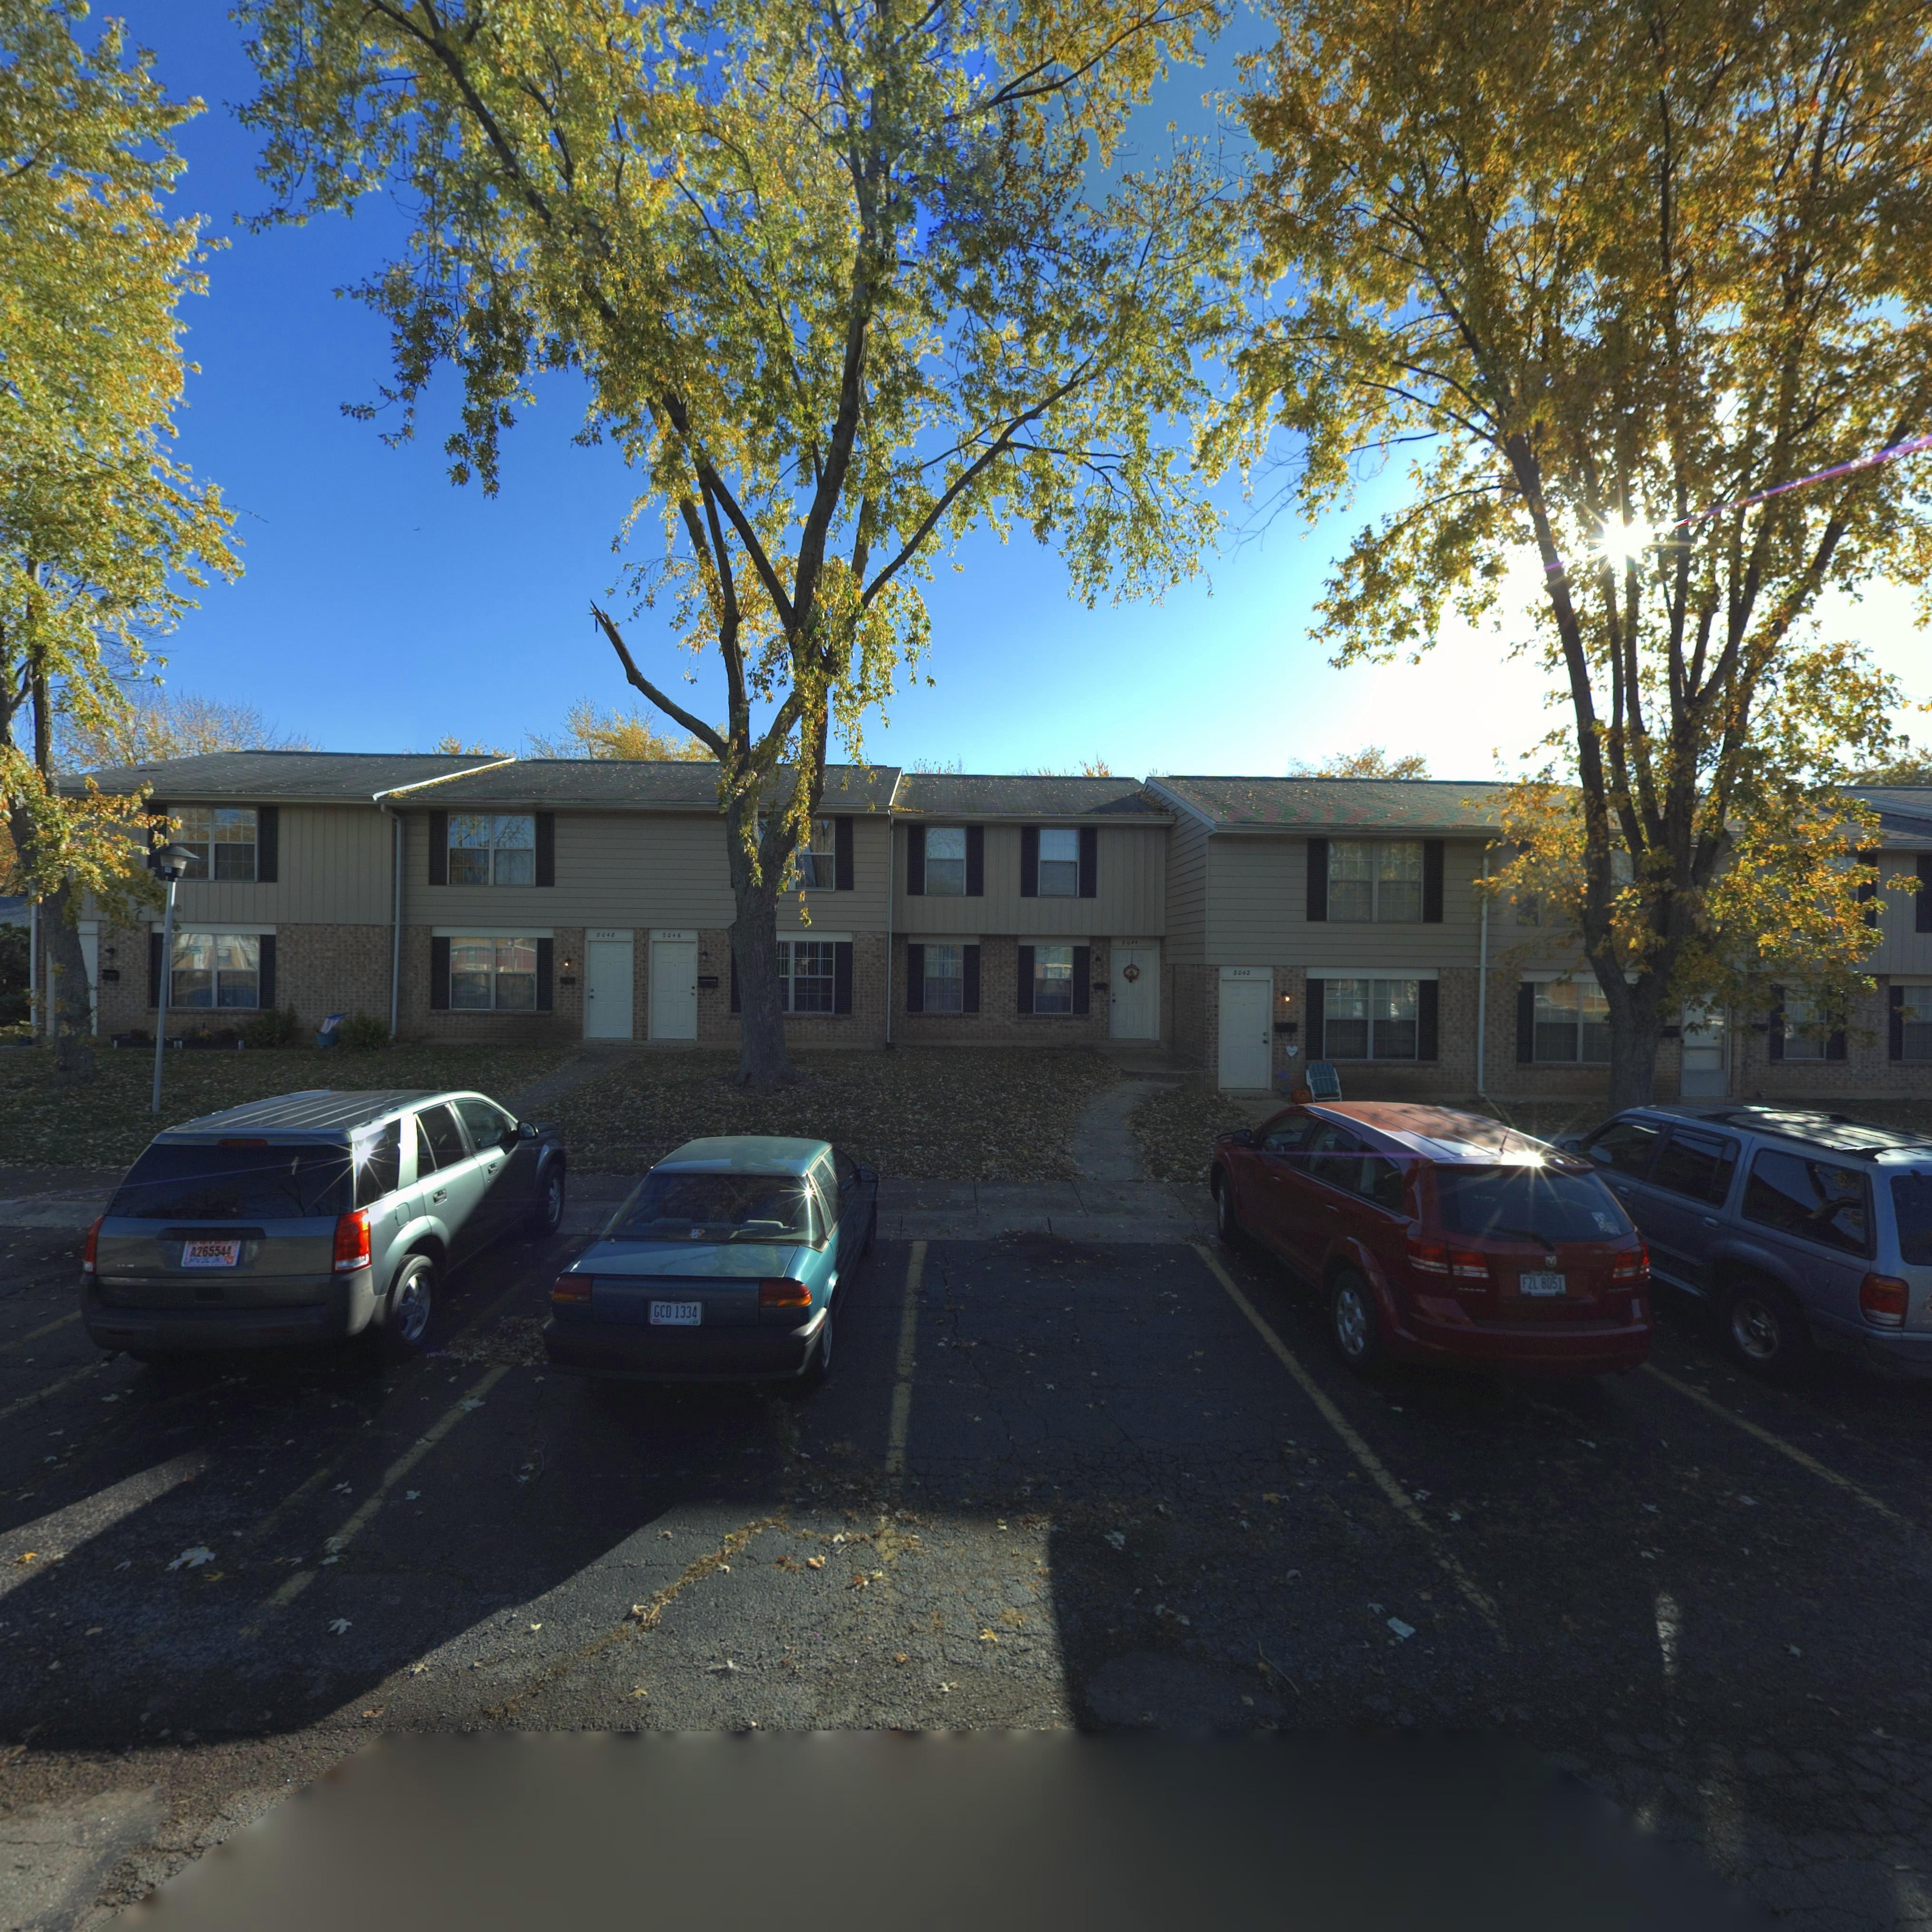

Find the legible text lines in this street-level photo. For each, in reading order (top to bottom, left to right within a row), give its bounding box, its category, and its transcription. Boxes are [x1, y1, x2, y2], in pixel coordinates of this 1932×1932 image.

[596, 932, 615, 937] StreetNumber: 8048
[662, 932, 681, 938] StreetNumber: 8046
[1121, 939, 1138, 945] StreetNumber: 8044
[1233, 969, 1250, 976] StreetNumber: 8042